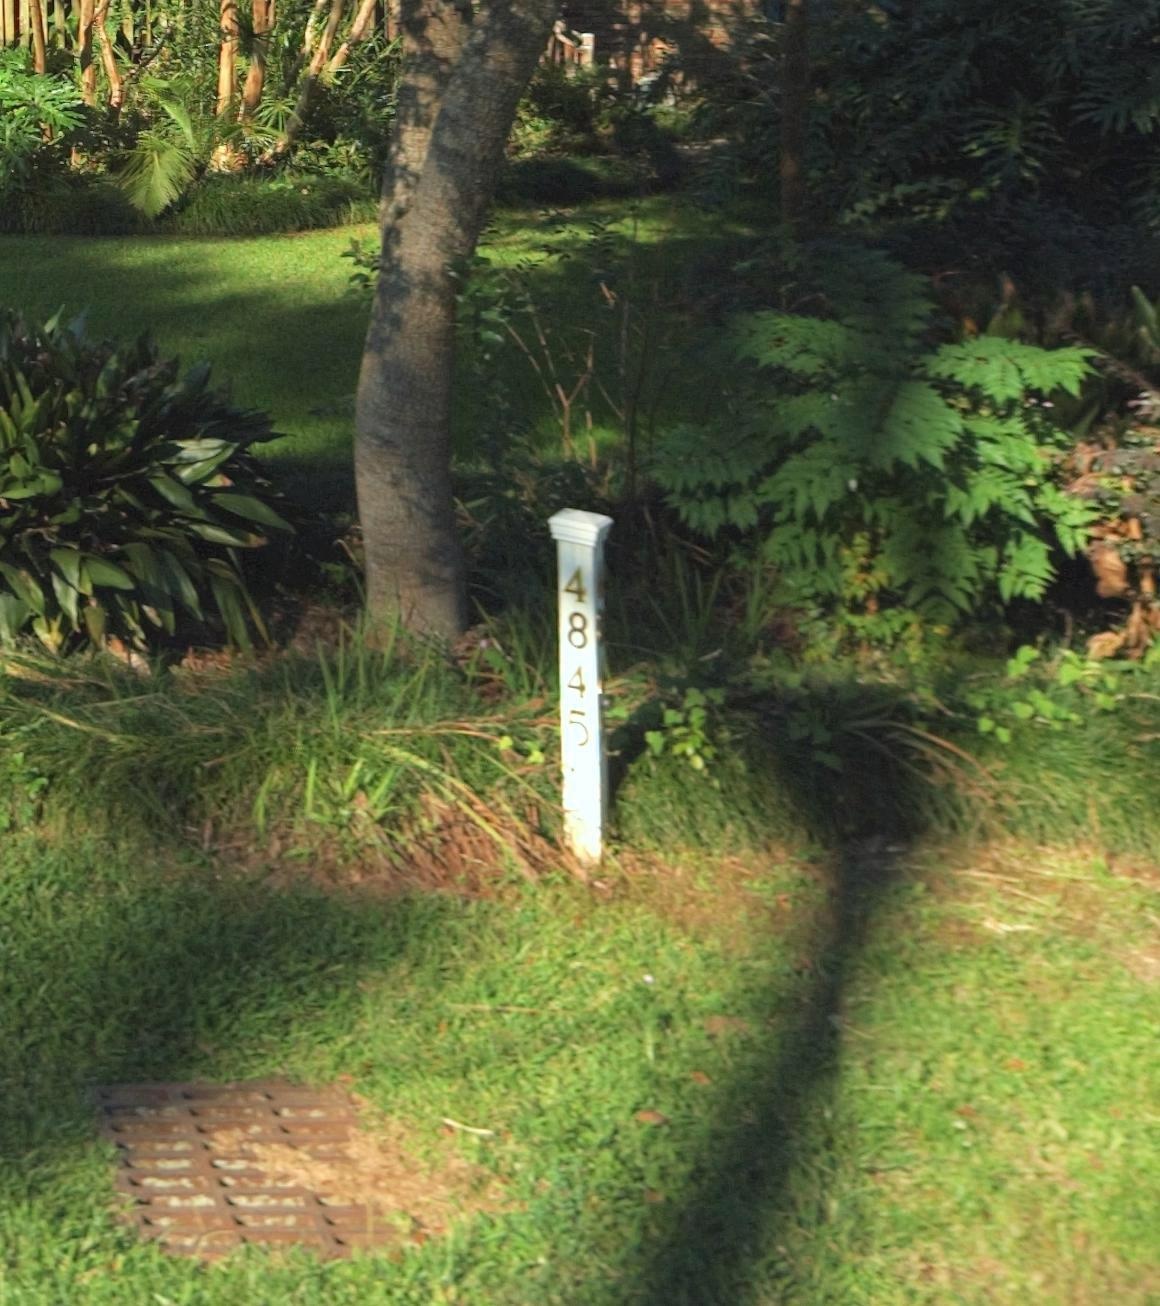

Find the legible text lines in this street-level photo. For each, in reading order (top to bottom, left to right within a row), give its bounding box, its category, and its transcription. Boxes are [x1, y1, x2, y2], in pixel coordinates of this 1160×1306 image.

[560, 562, 593, 754] StreetNumber: 4845